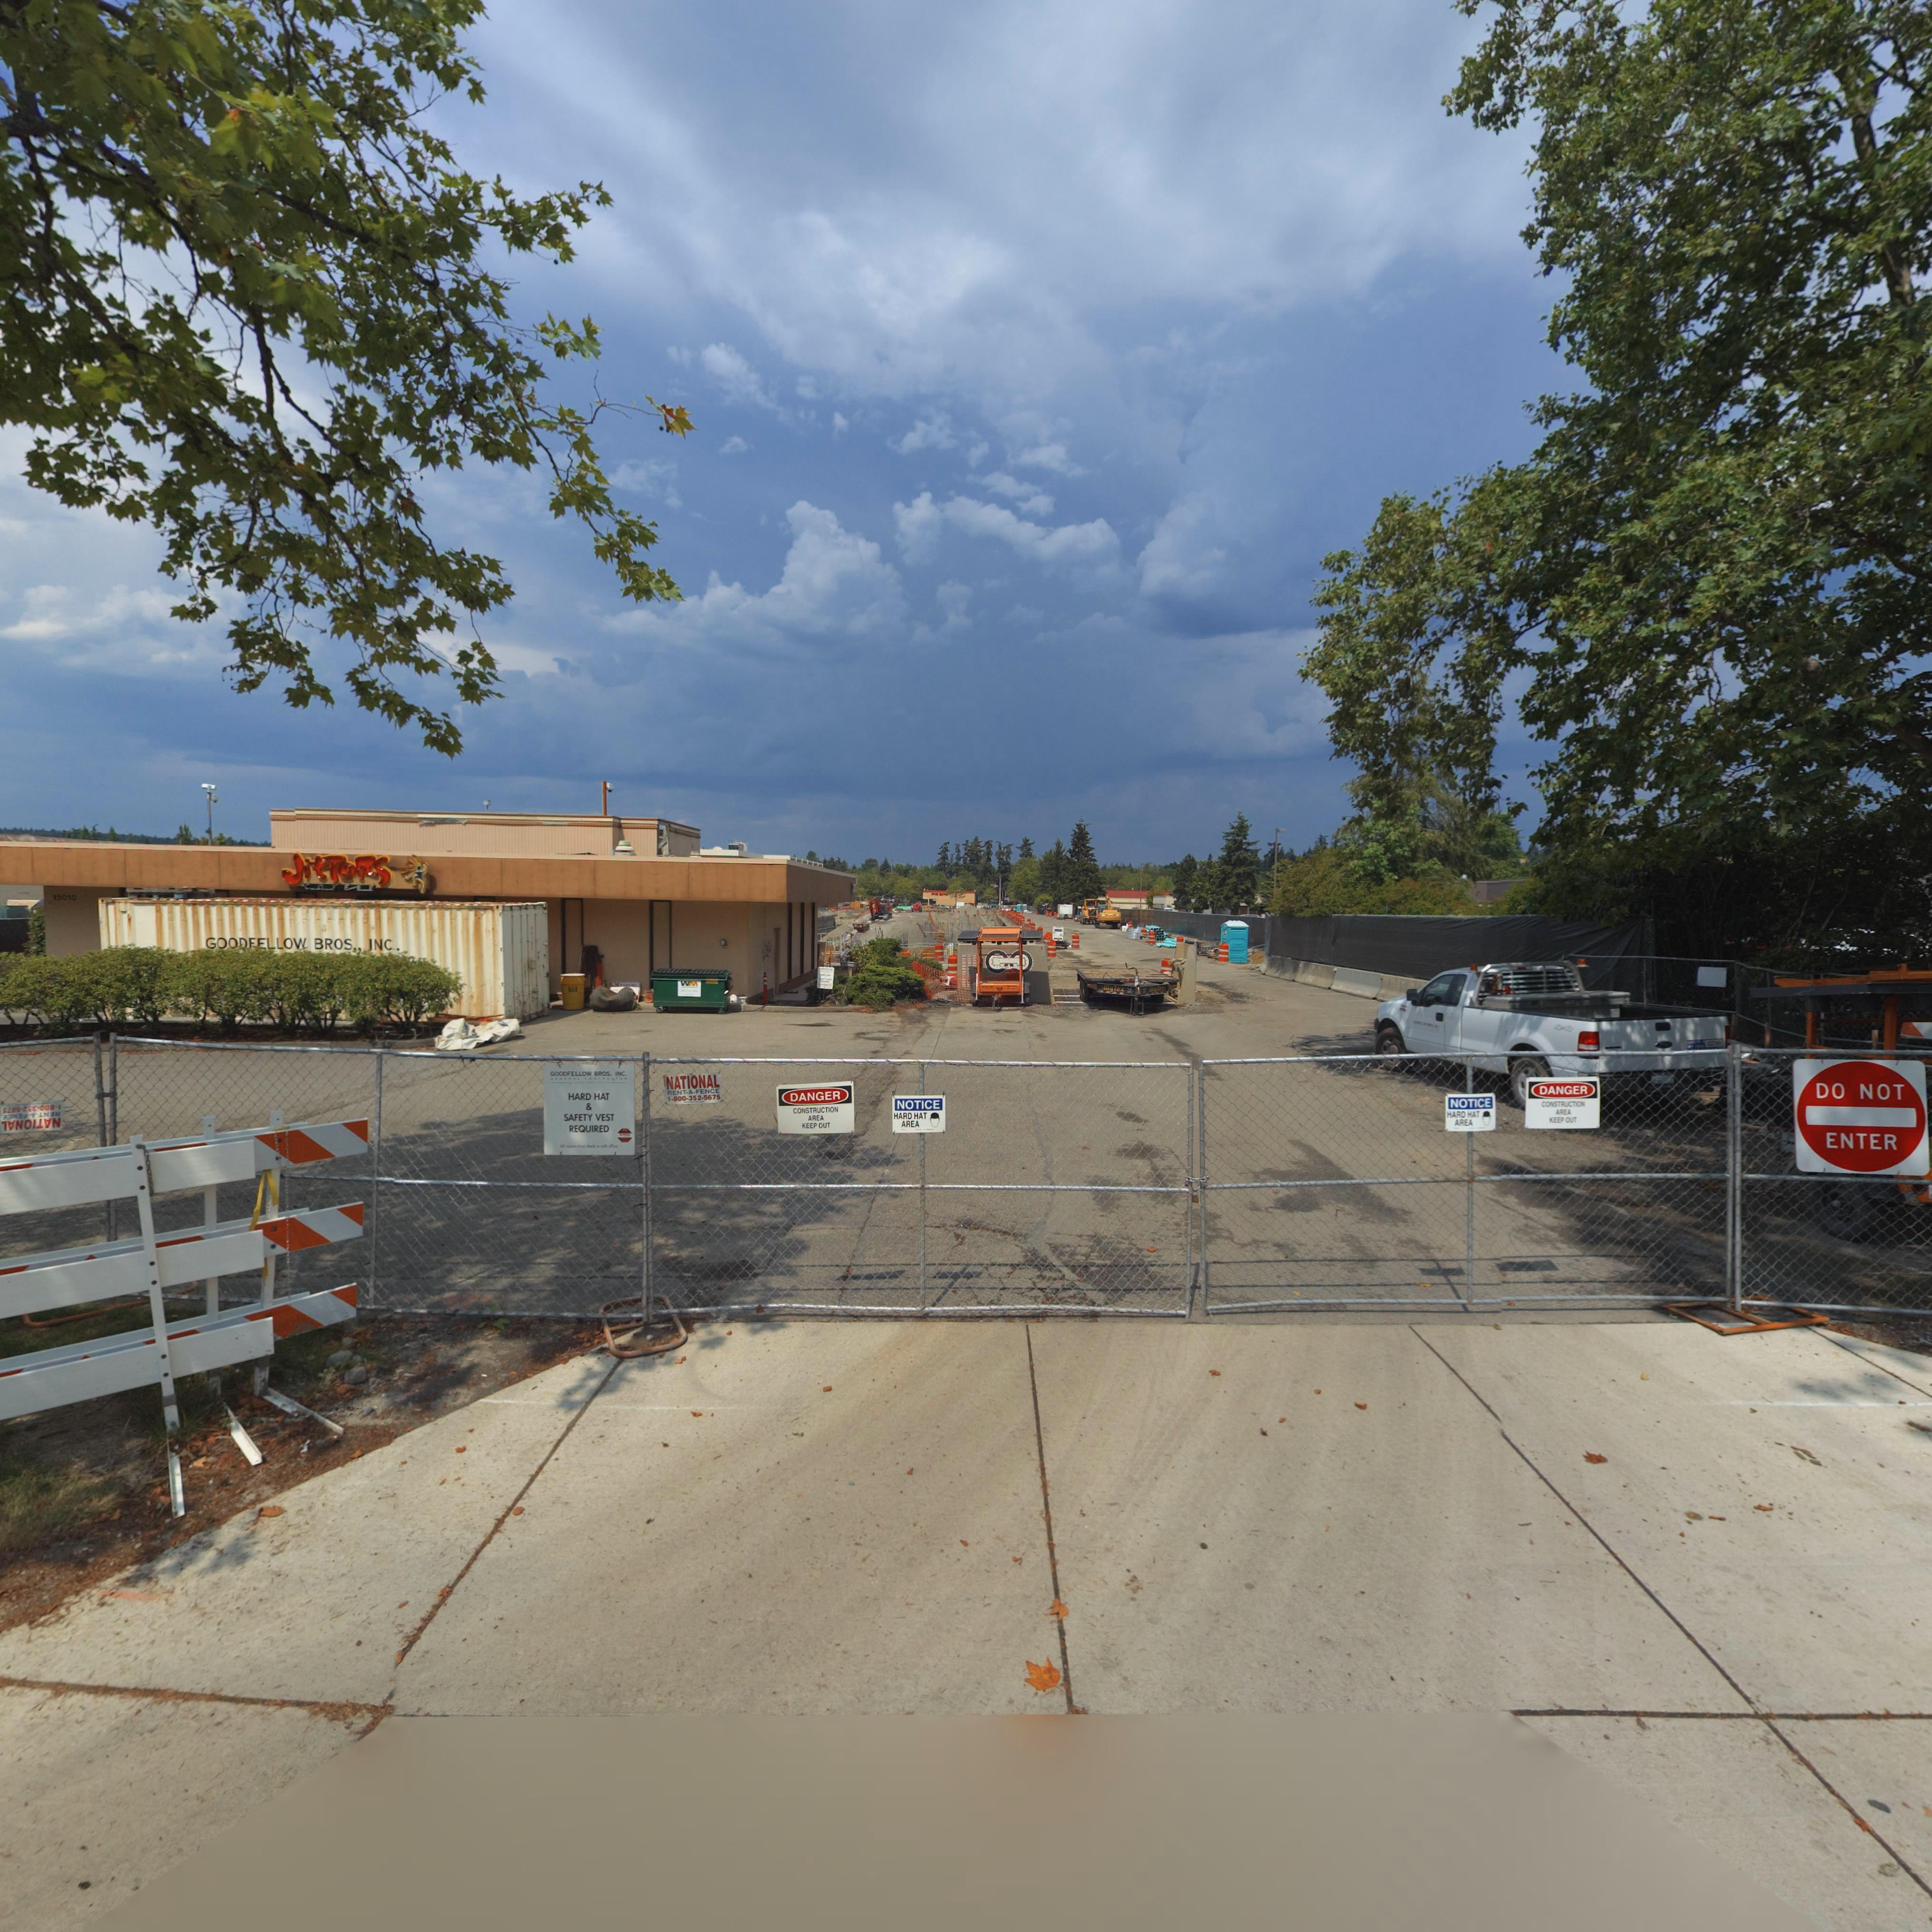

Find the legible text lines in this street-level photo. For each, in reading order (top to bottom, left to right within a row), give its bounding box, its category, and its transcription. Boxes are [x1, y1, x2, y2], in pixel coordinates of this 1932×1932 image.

[206, 937, 393, 950] BusinessName: GOO***LLOW BROS INC
[548, 1069, 628, 1077] BusinessName: GOODFELLOW BROS. INC.
[664, 1072, 720, 1090] BusinessName: NATIONAL
[665, 1088, 721, 1095] None: RENT-A-FENCE